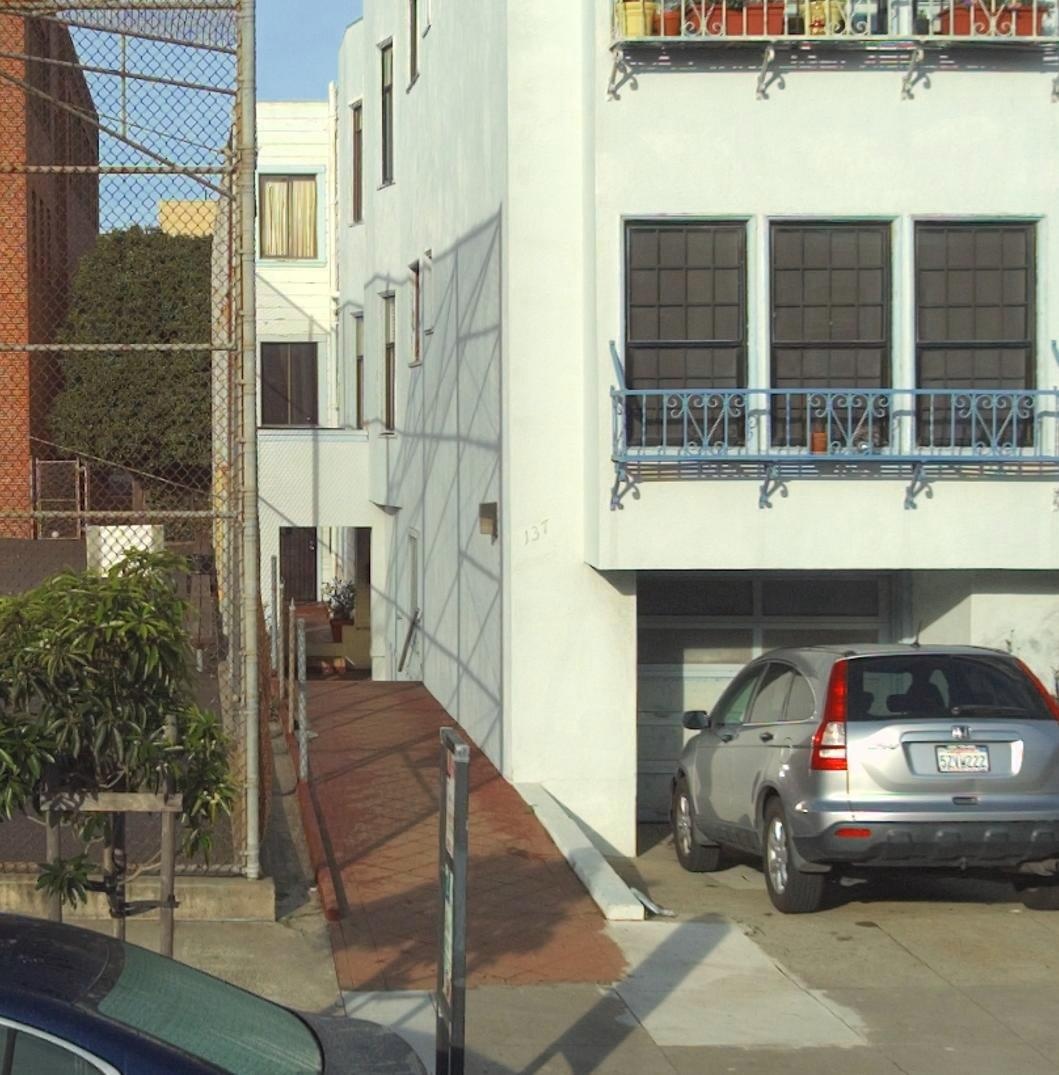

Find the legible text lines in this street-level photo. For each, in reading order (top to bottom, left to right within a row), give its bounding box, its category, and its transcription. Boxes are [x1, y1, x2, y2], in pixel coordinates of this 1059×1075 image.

[521, 513, 552, 550] StreetNumber: 137
[937, 752, 989, 771] None: 5***222